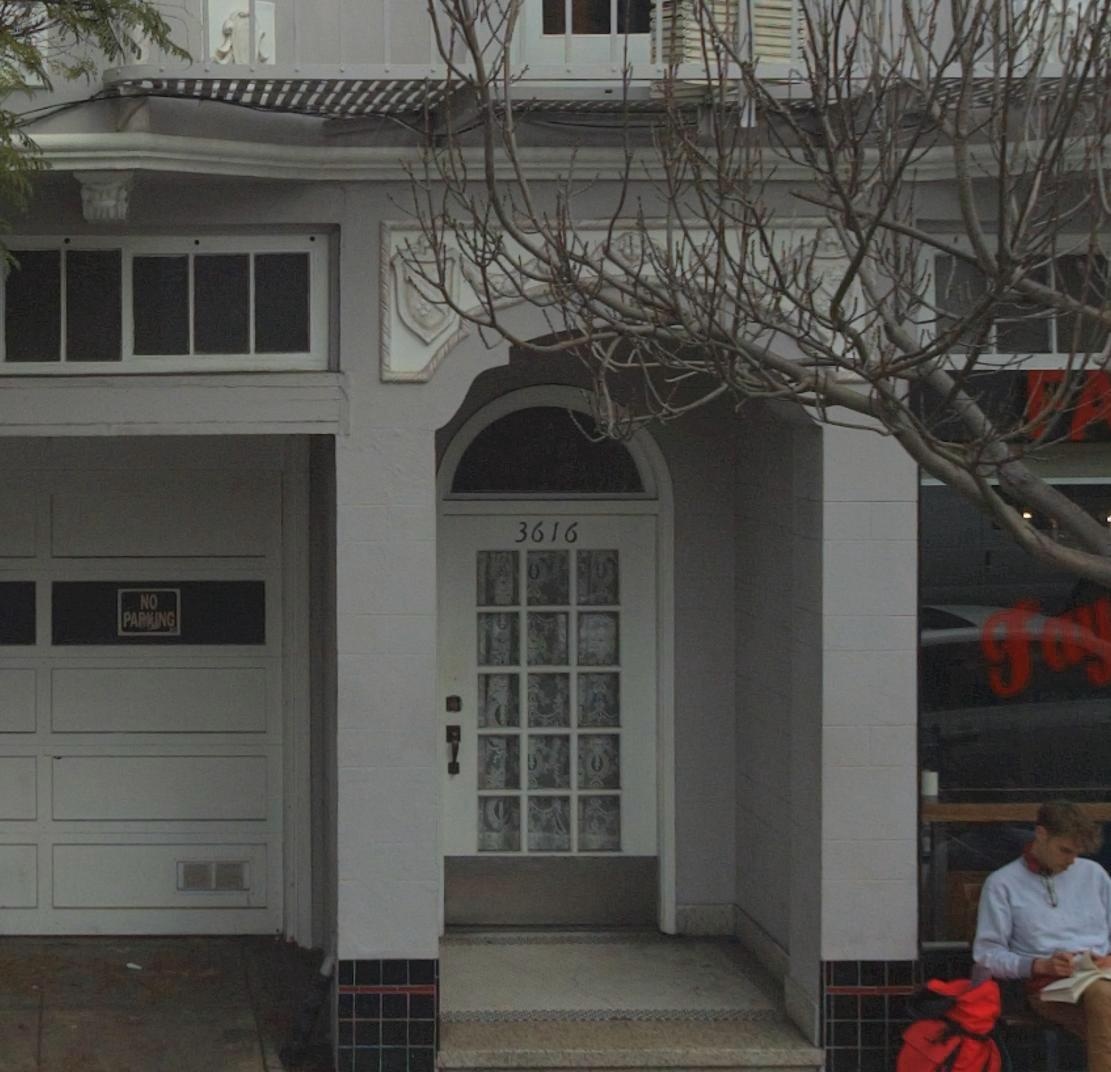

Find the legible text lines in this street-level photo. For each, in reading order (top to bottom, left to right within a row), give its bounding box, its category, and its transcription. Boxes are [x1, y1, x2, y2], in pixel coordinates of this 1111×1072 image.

[514, 520, 579, 544] StreetNumber: 3616
[139, 593, 158, 610] None: NO
[122, 611, 176, 629] None: PARKING
[979, 597, 1044, 700] None: g